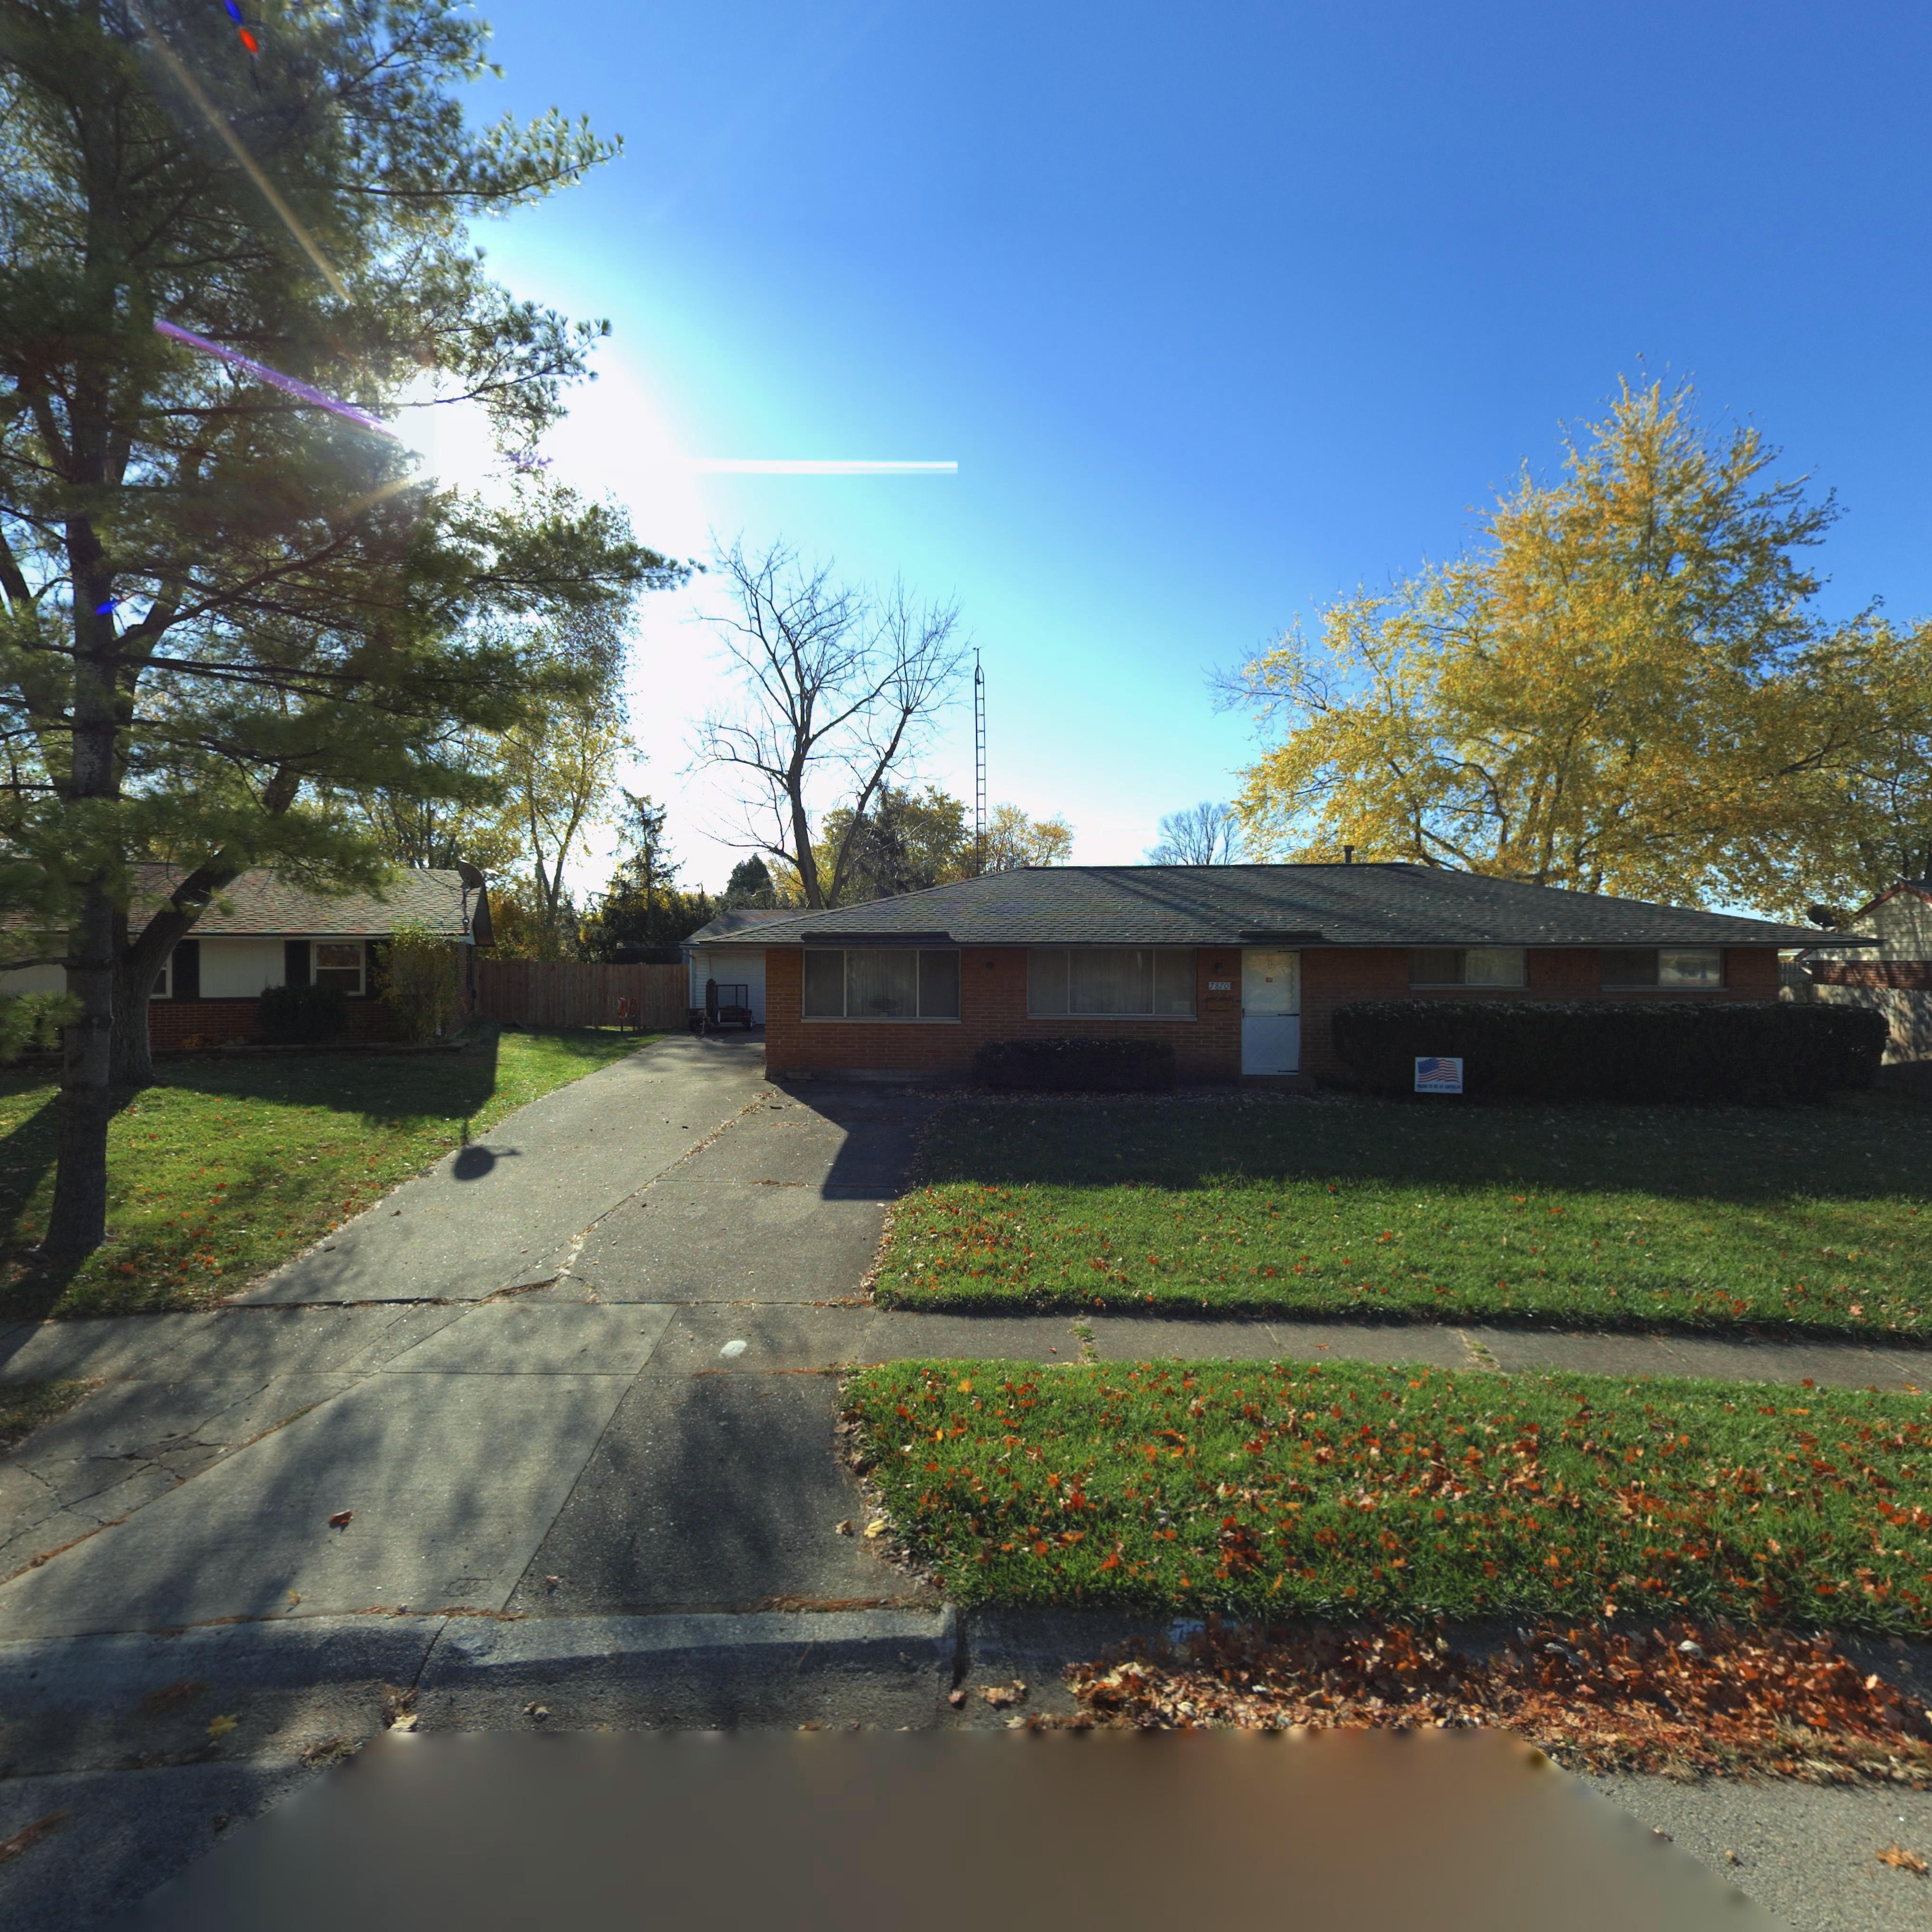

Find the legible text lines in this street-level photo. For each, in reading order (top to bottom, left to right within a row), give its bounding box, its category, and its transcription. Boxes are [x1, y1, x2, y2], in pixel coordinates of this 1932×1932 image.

[1209, 982, 1230, 990] StreetNumber: 7870
[1170, 1622, 1186, 1645] StreetNumber: 7